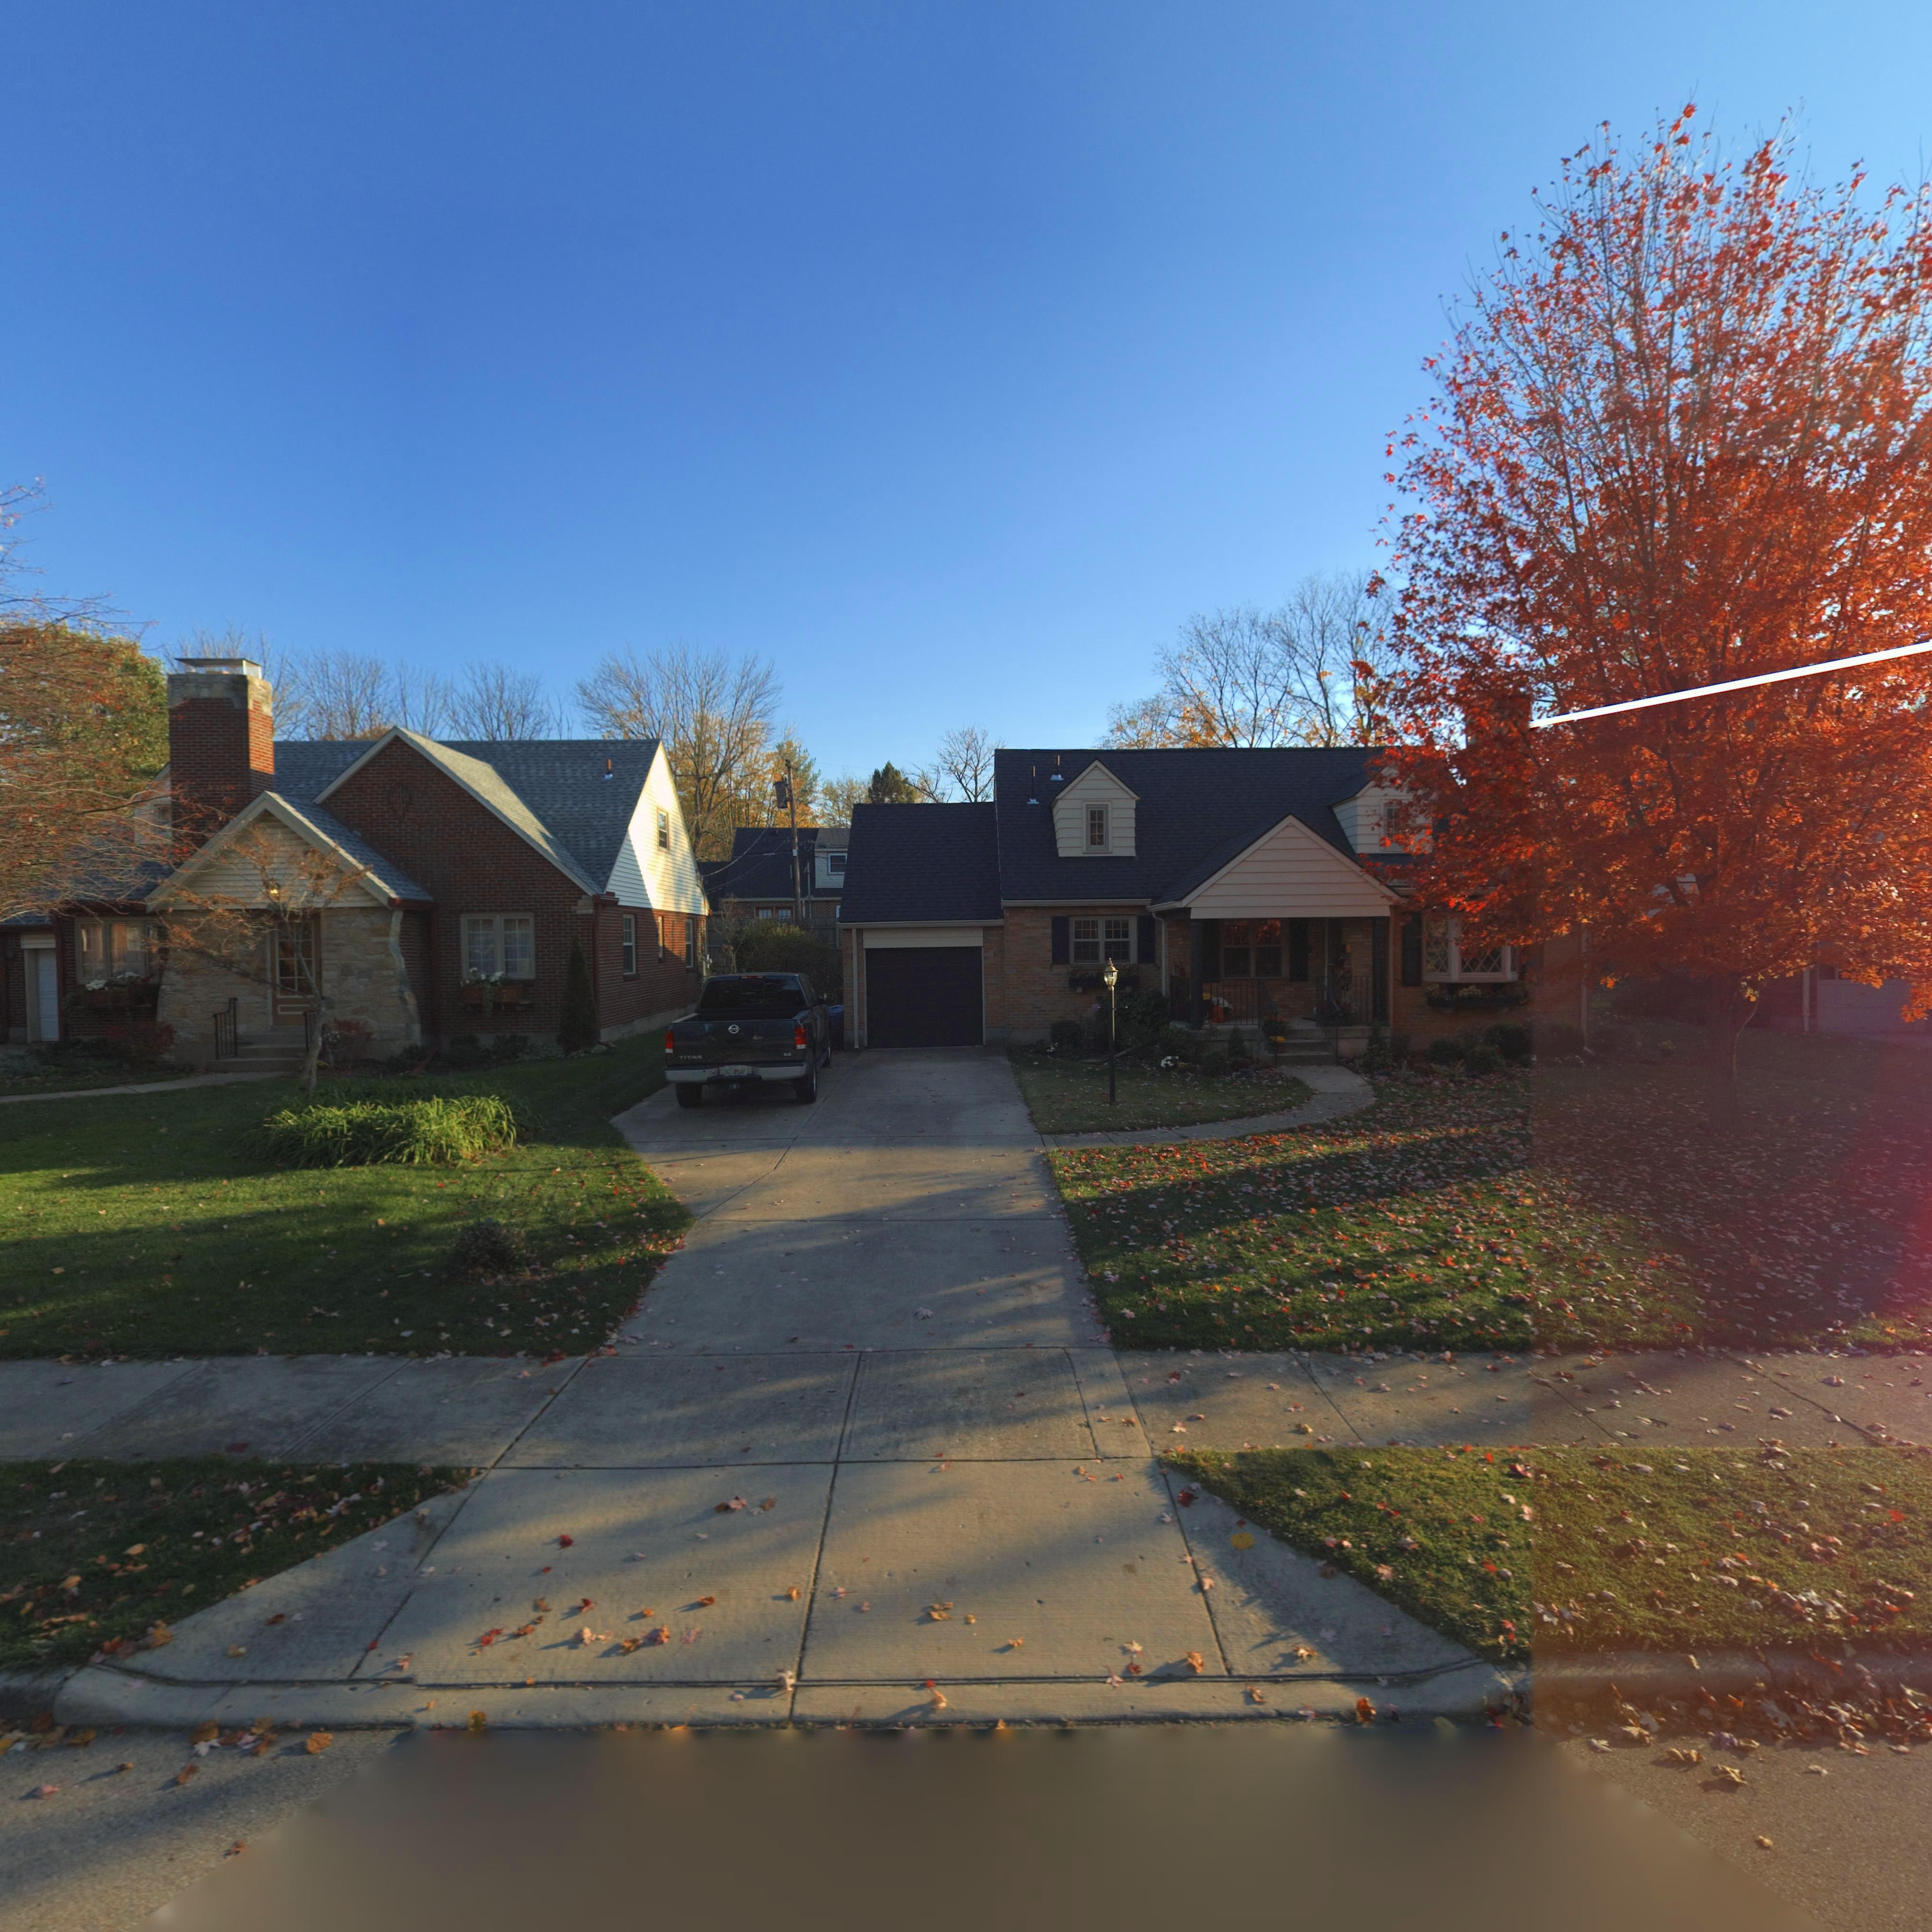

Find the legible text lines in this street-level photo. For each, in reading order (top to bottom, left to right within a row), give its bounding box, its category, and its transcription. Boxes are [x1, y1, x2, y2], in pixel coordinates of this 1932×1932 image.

[1379, 935, 1385, 960] StreetNumber: 21*